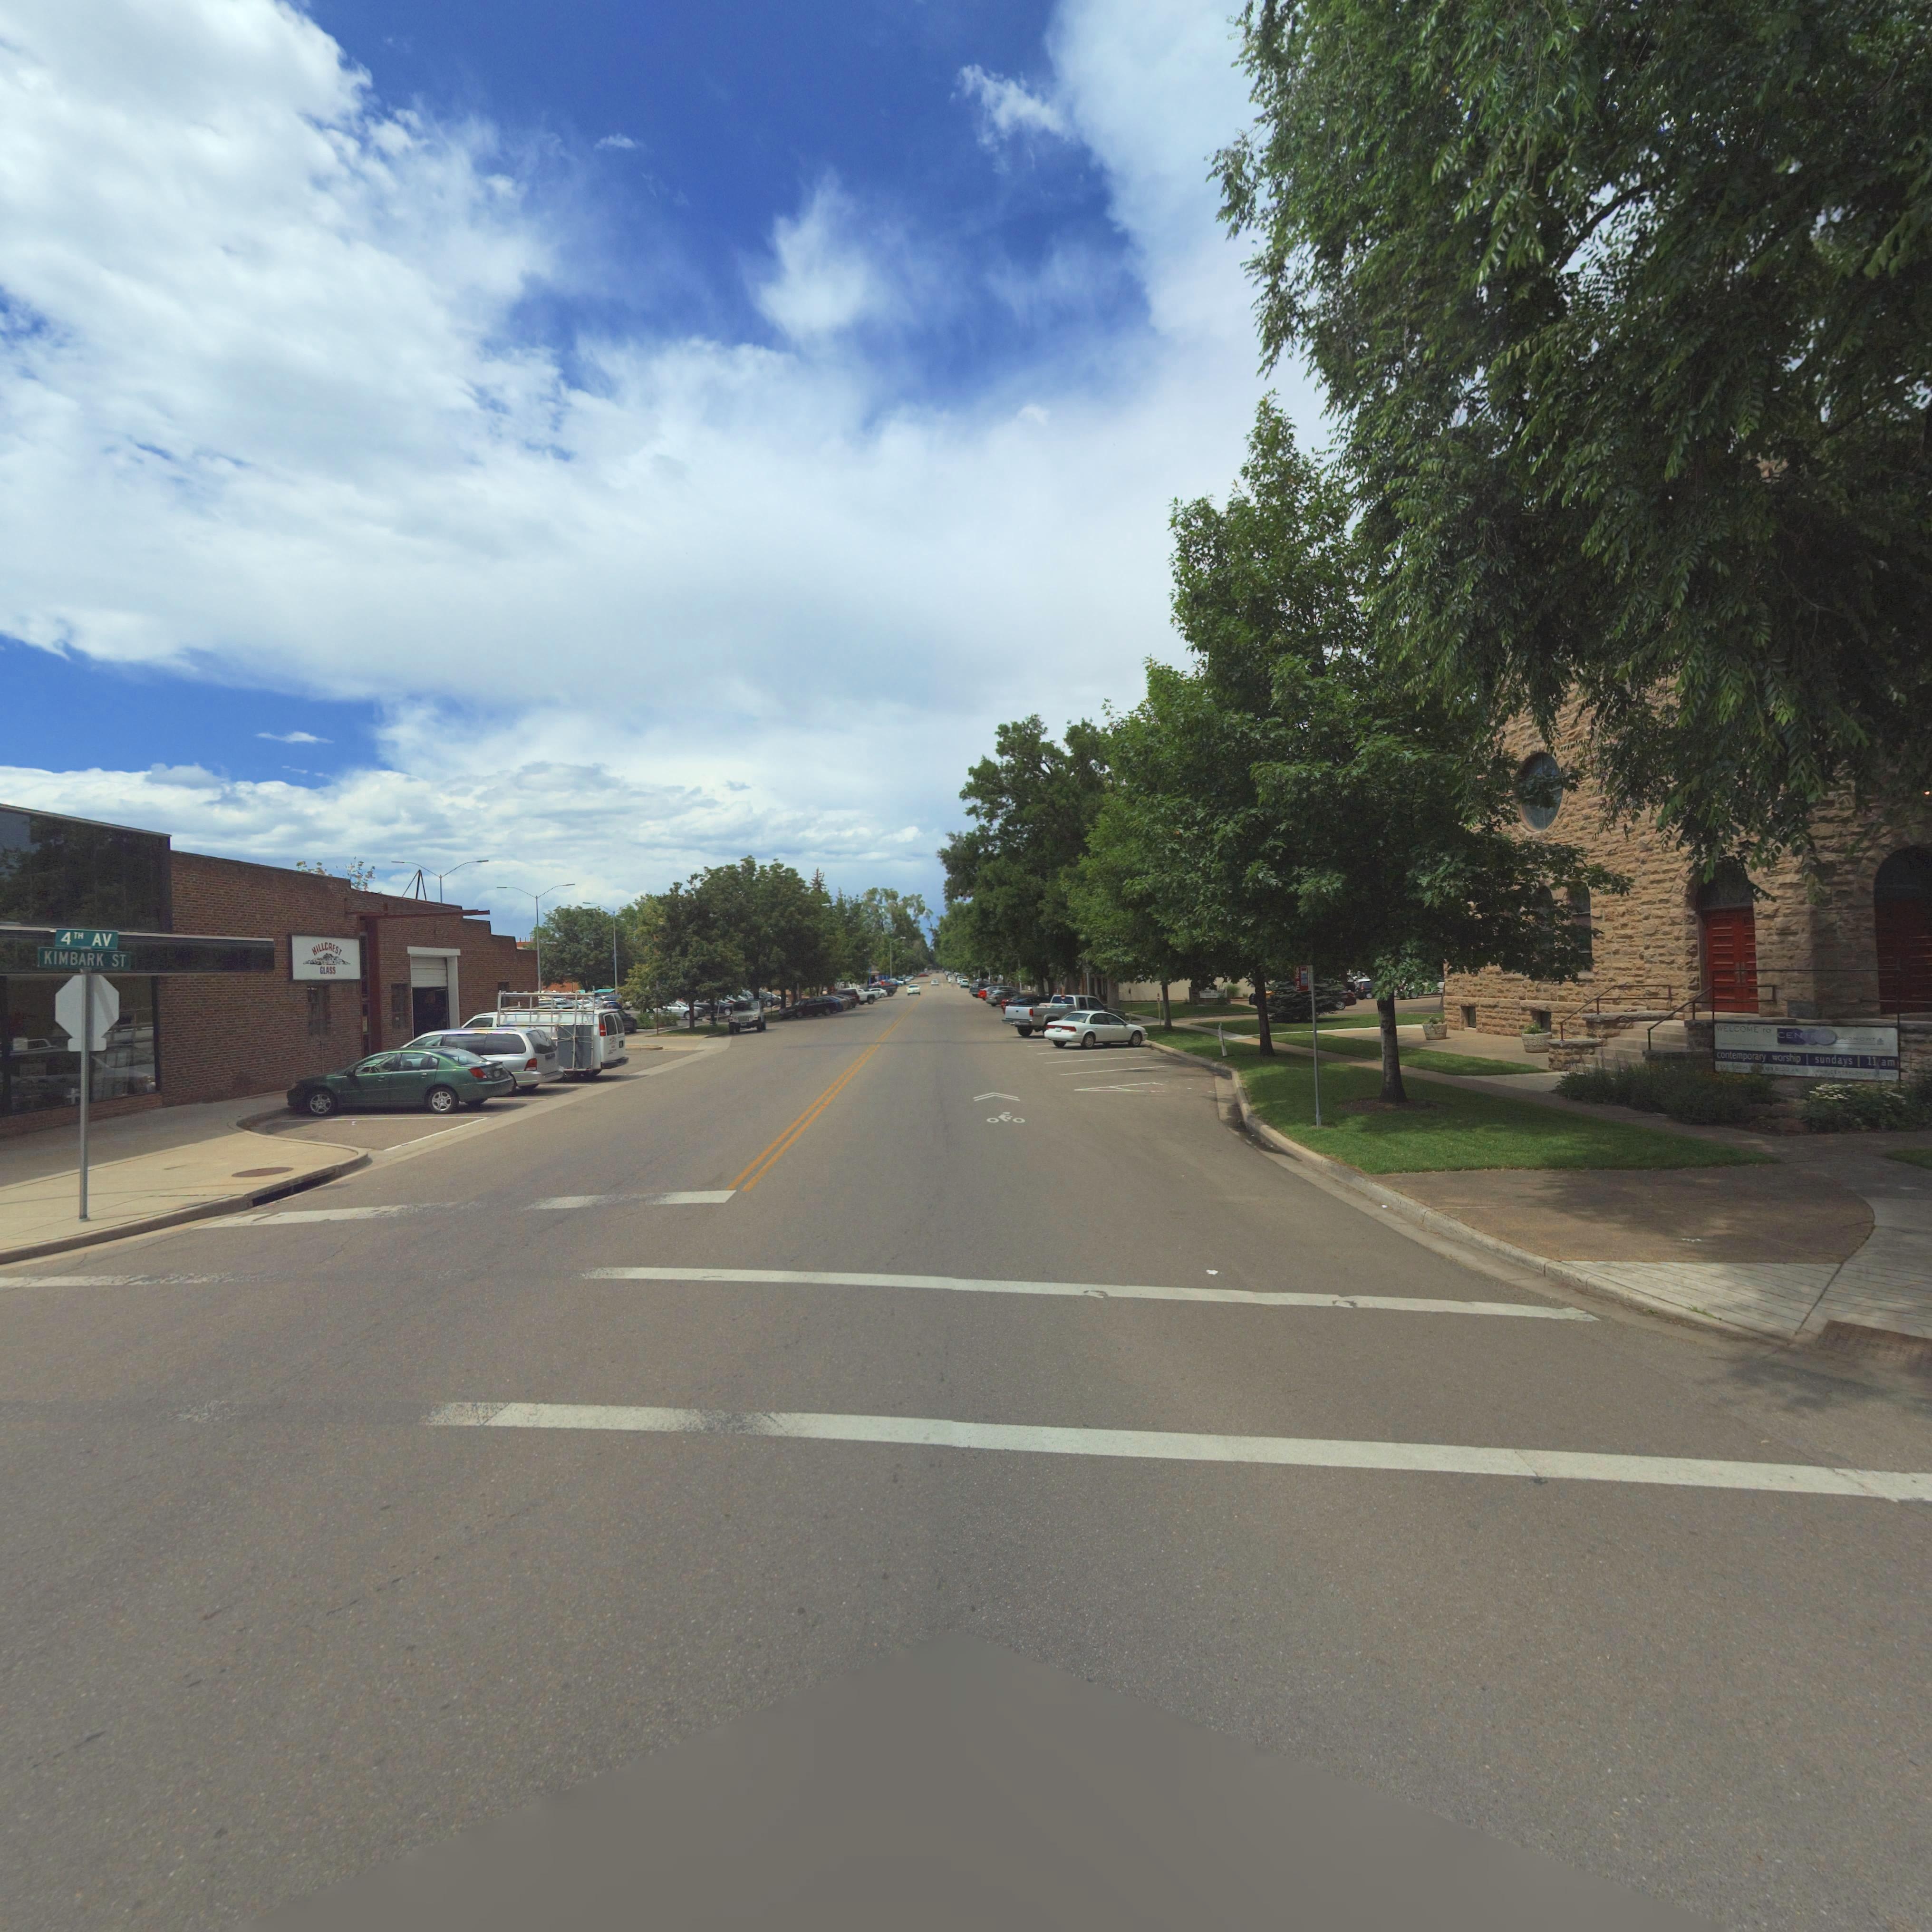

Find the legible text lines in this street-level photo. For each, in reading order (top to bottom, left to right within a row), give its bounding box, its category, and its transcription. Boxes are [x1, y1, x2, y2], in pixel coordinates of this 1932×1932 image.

[60, 931, 113, 947] StreetName: 4TH AV
[311, 942, 342, 956] BusinessName: HILLCREST
[44, 950, 126, 967] StreetName: KIMBARK ST
[319, 966, 336, 974] BusinessName: GLASS